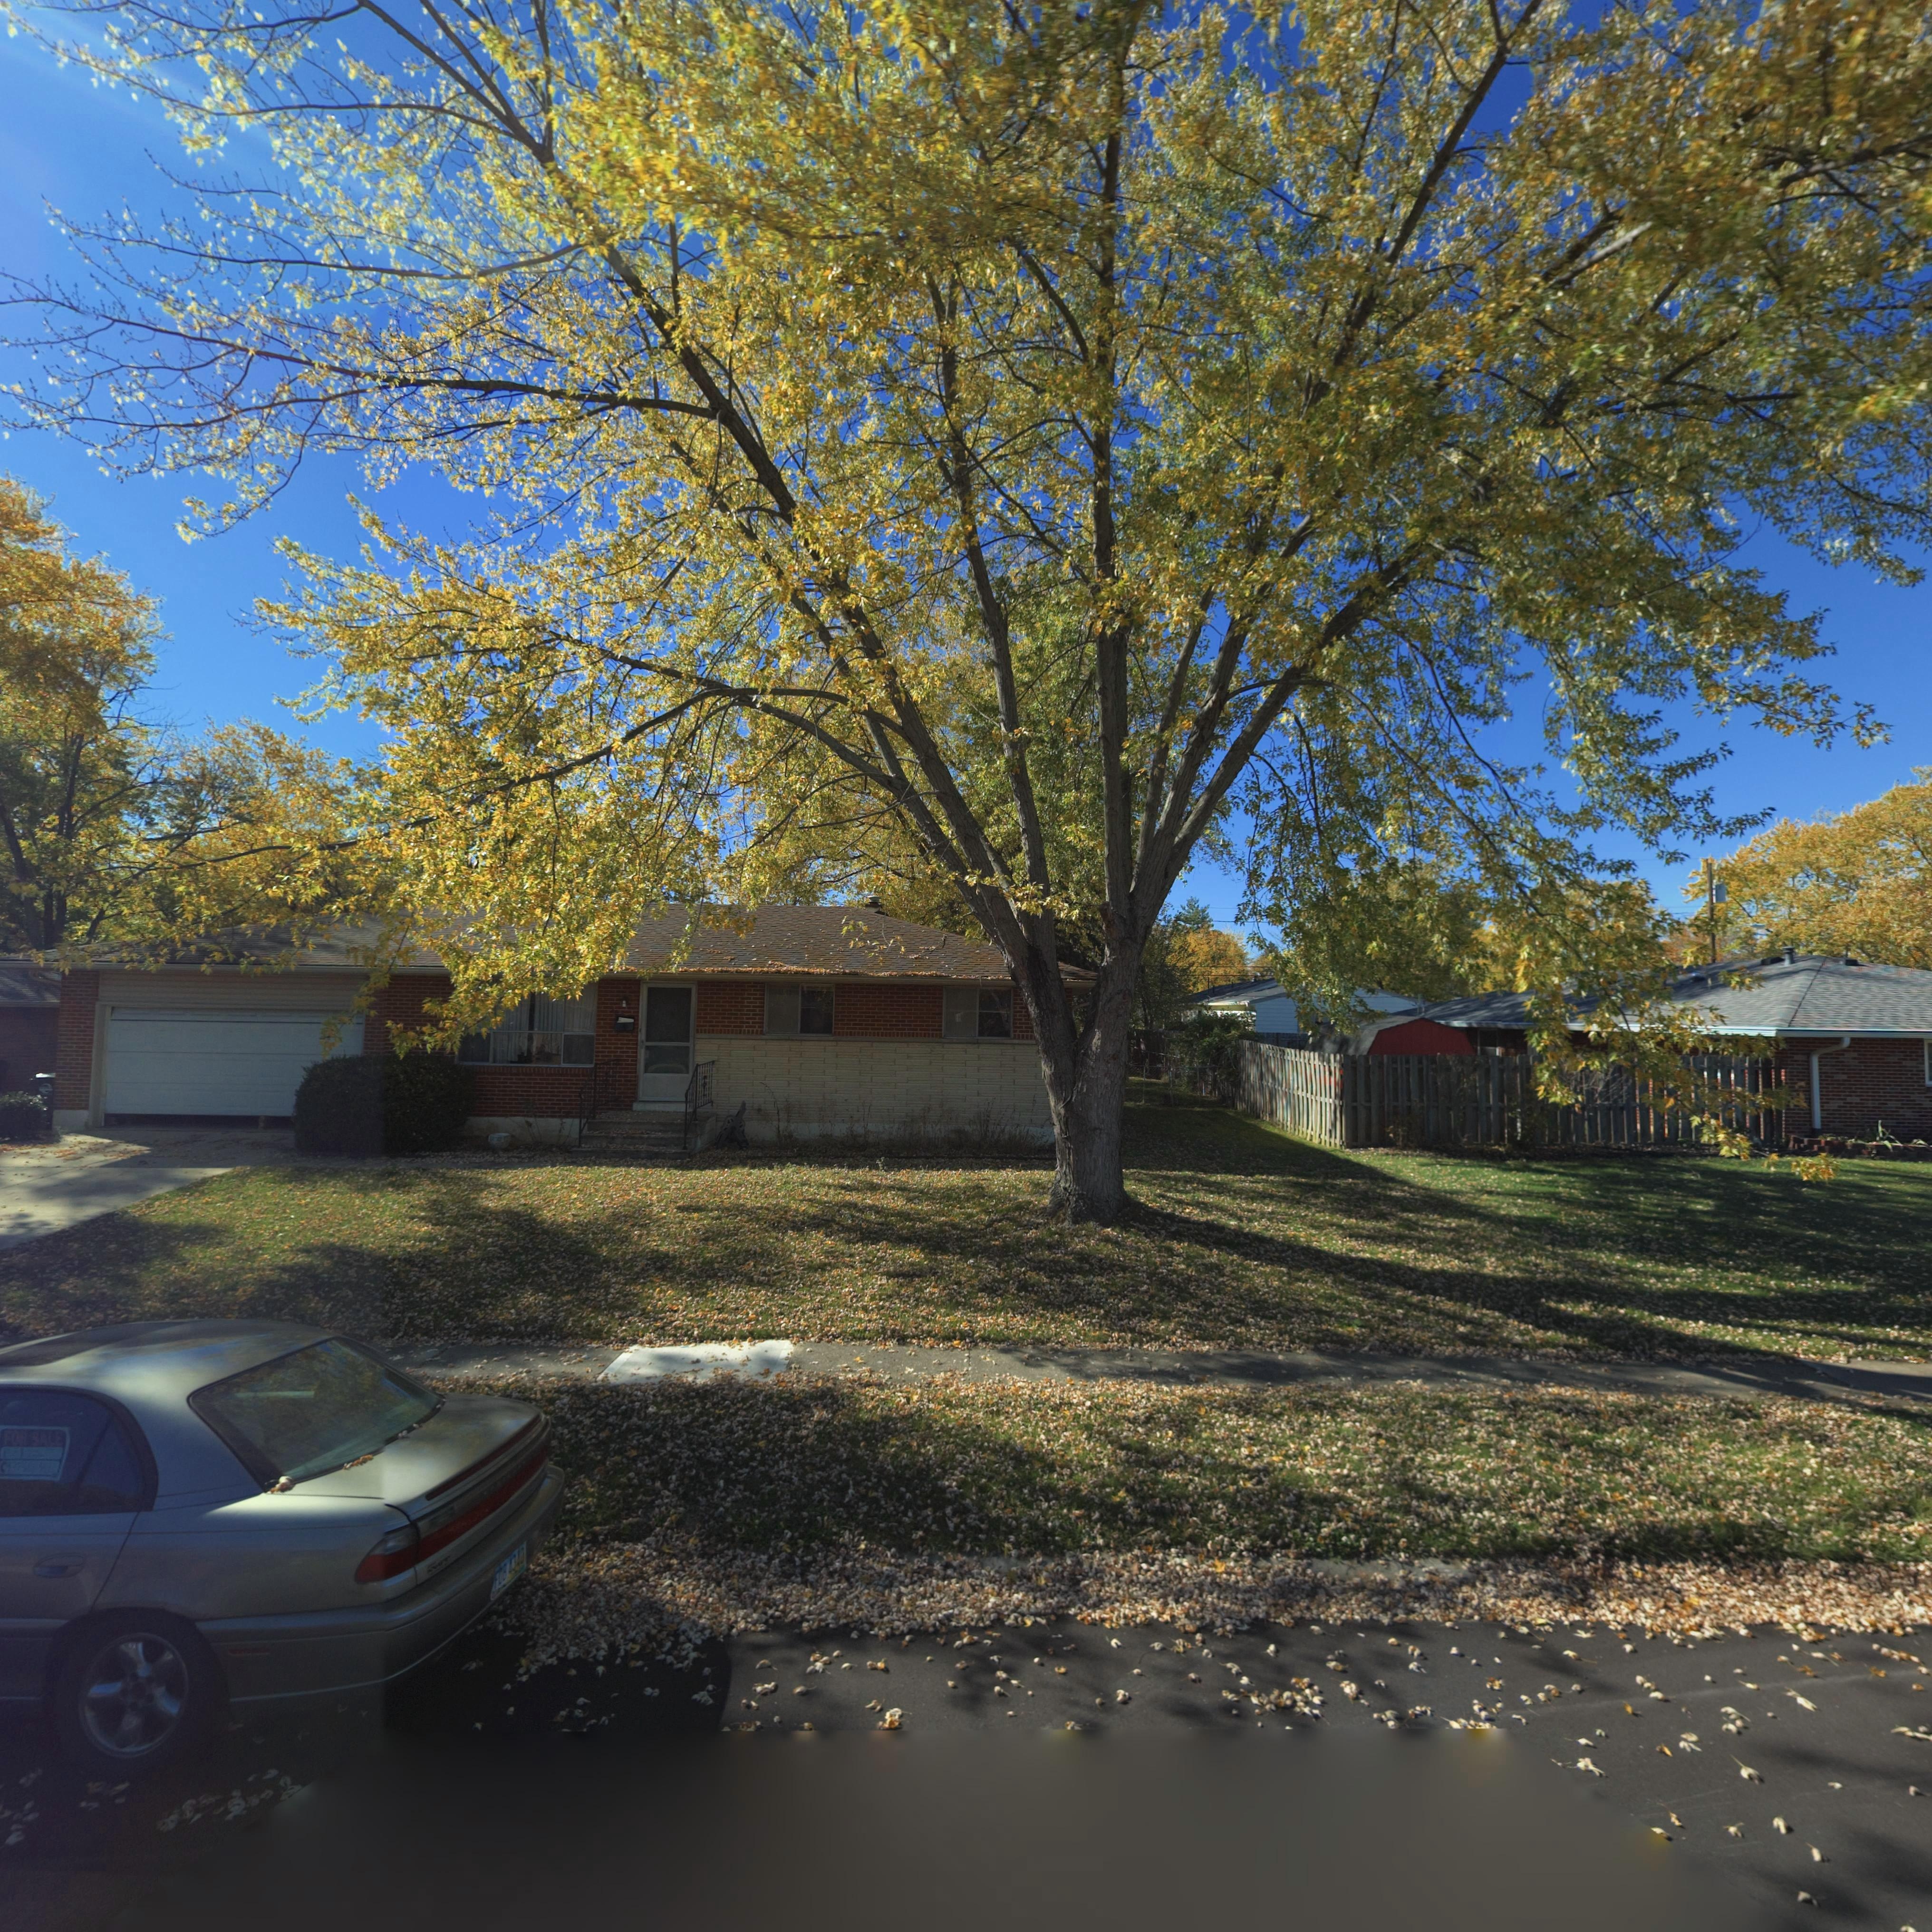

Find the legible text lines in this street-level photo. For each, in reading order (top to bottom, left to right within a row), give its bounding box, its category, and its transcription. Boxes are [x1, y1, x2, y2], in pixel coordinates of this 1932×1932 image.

[609, 1007, 619, 1015] StreetNumber: 20